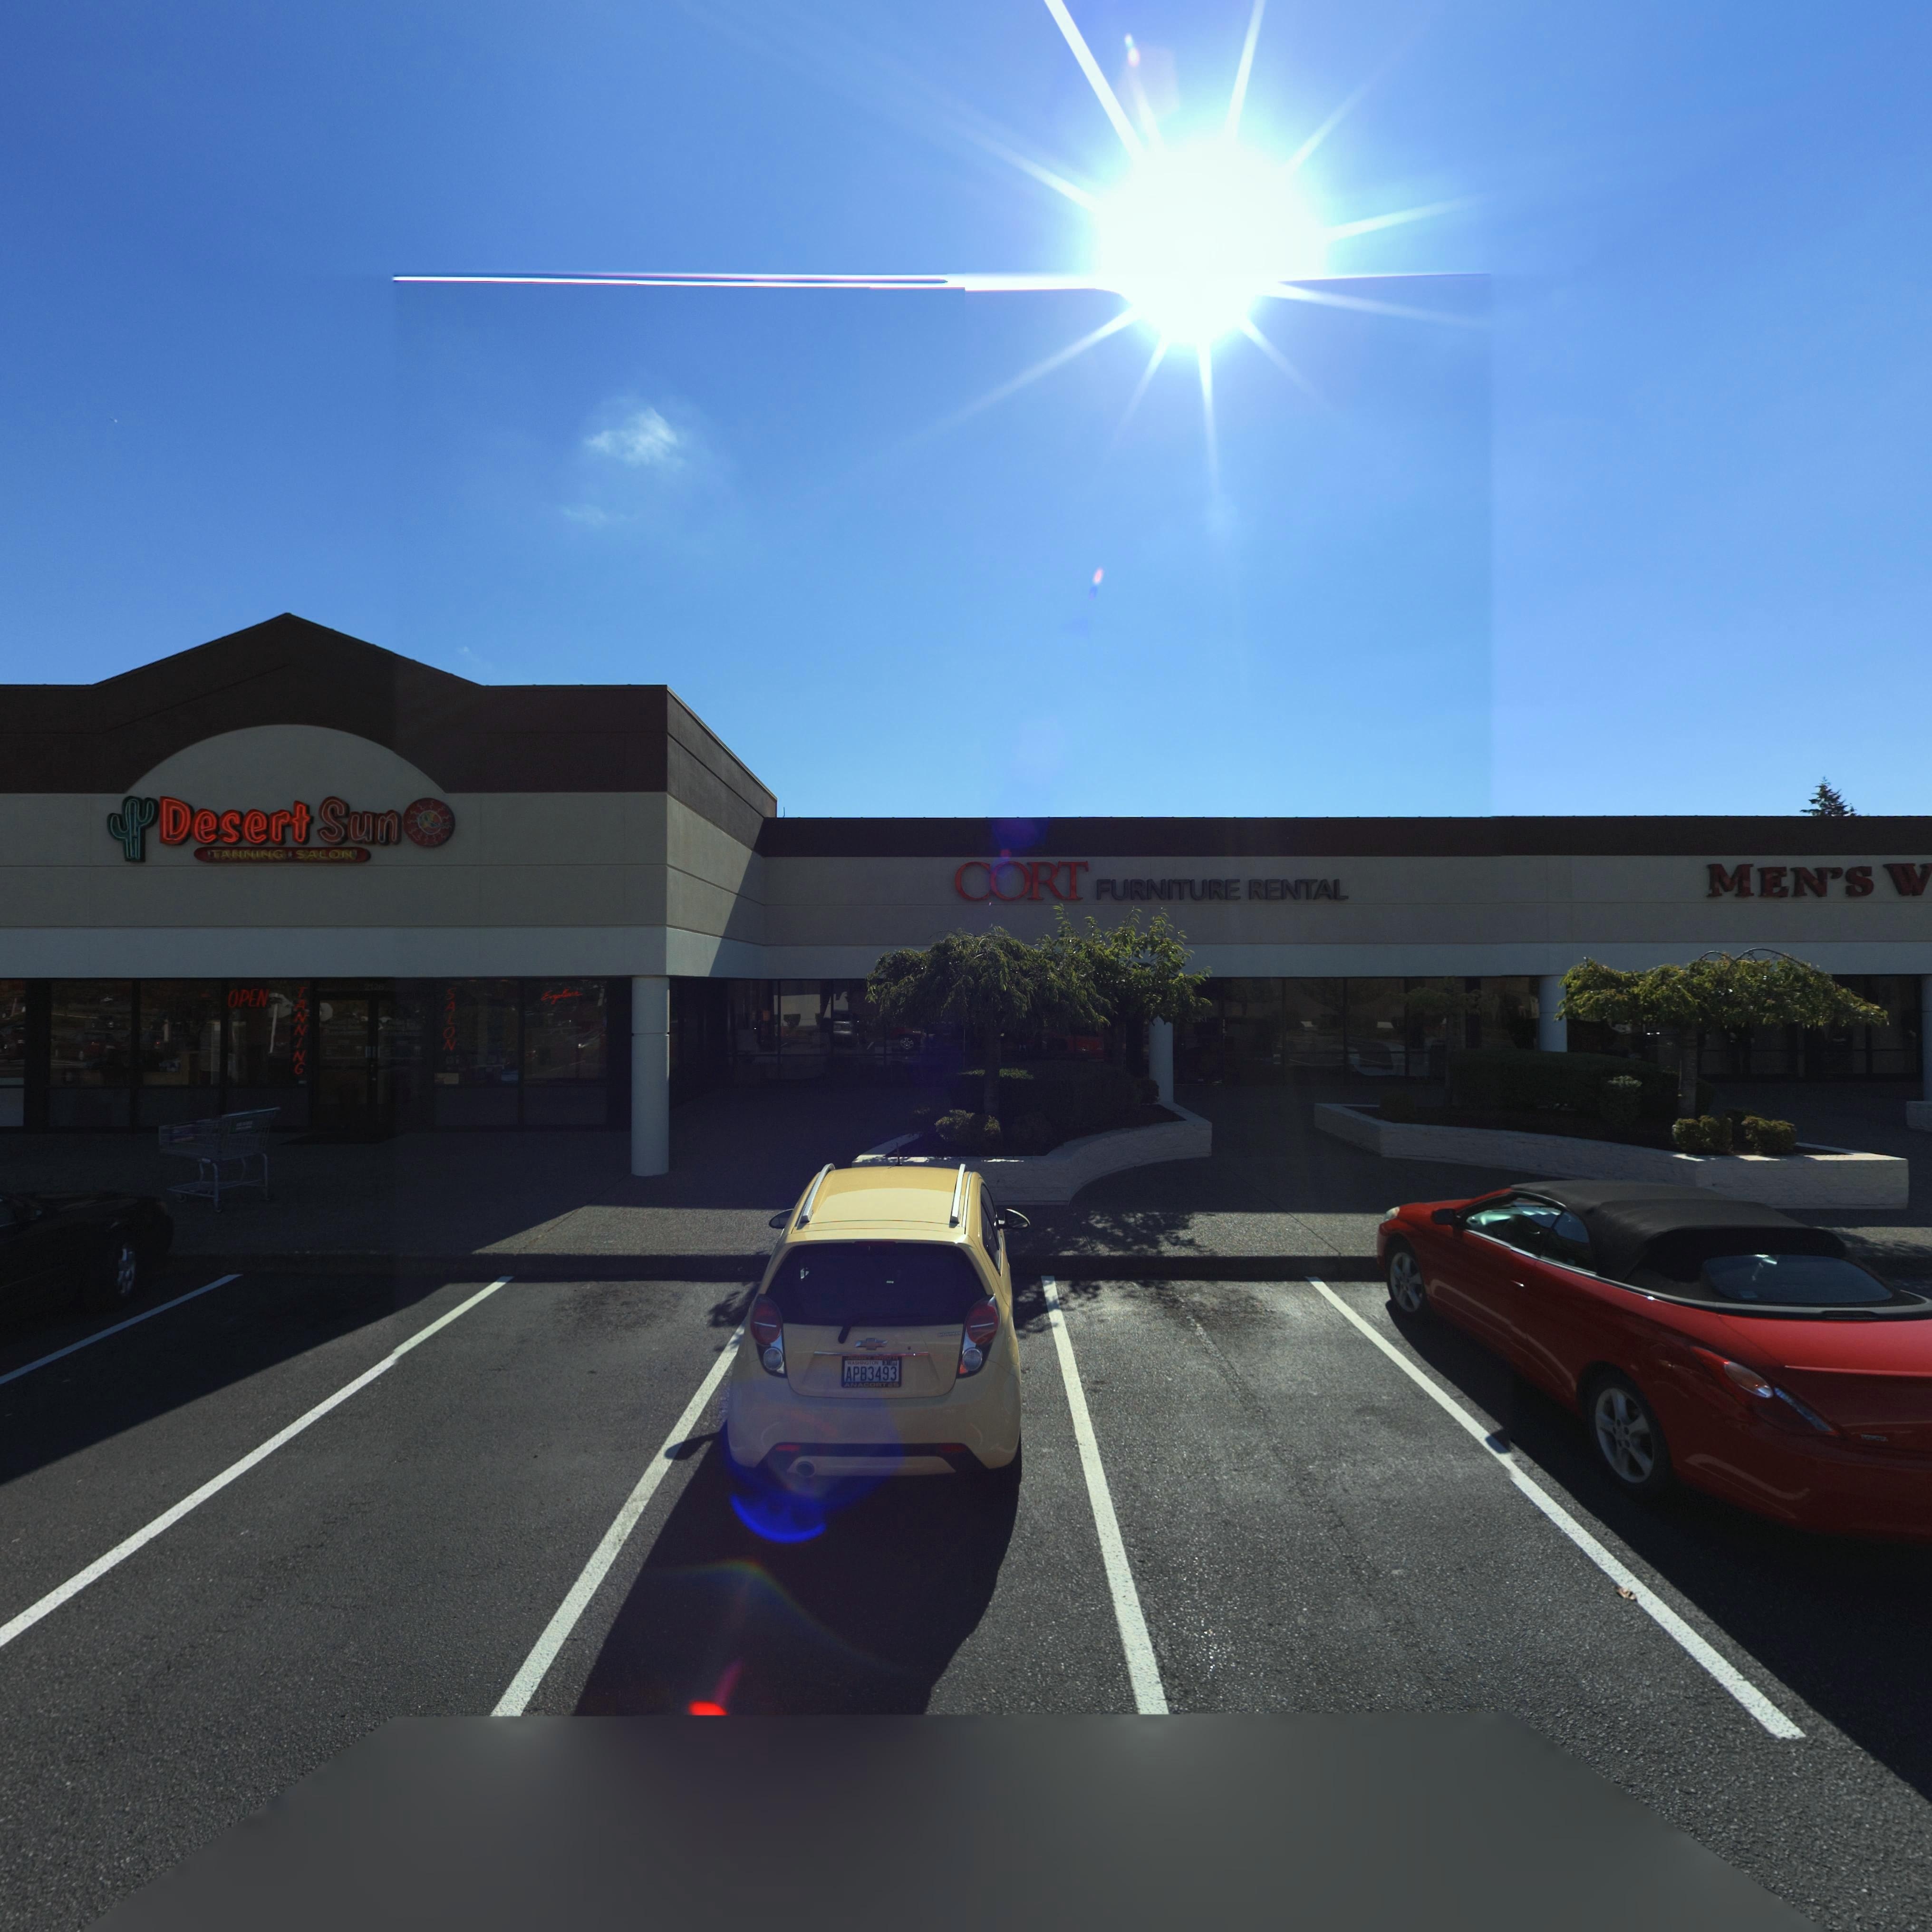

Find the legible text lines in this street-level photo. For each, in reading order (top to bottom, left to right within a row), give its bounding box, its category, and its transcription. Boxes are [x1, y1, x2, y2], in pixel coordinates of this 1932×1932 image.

[160, 798, 399, 842] BusinessName: Desert Sun
[211, 849, 355, 861] BusinessName: TANNING SALON
[954, 859, 1088, 900] BusinessName: CORT
[1096, 877, 1349, 899] BusinessName: FURNITURE RENTAL
[1706, 861, 1931, 898] BusinessName: MEN'S W
[365, 983, 384, 990] StreetNumber: 2126